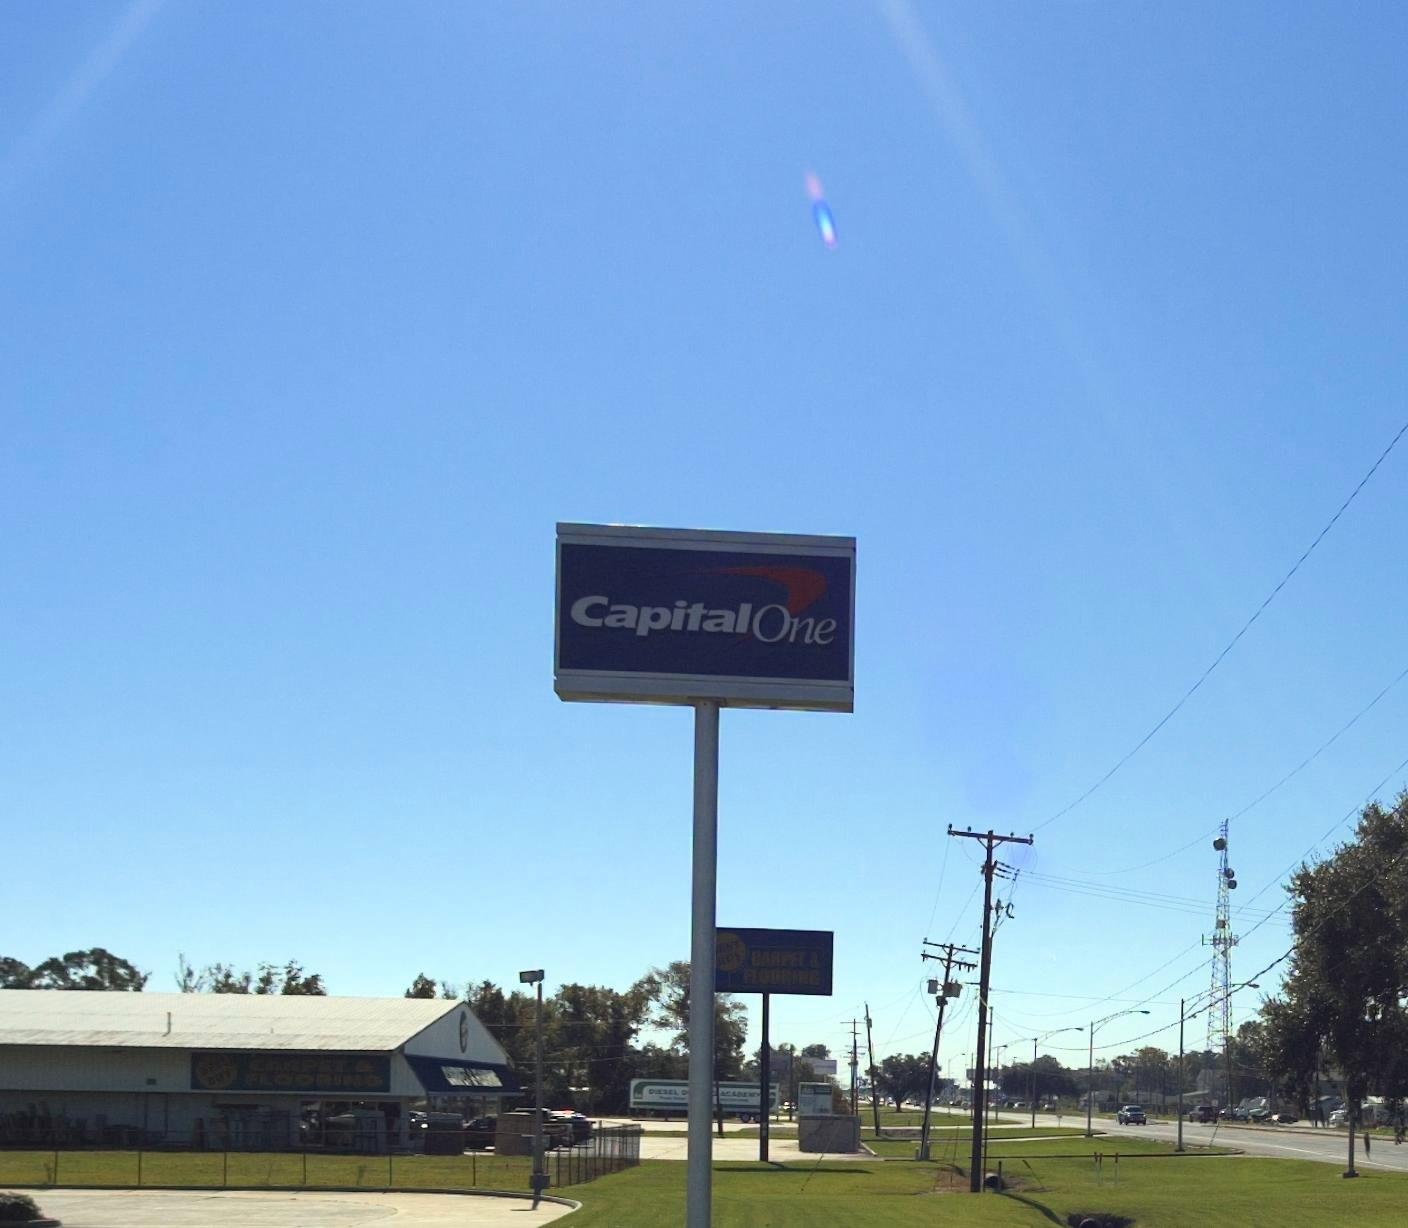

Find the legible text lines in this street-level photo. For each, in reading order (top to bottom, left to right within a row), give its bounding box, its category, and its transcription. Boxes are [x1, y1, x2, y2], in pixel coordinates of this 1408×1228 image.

[567, 591, 843, 652] BusinessName: Capital One
[749, 947, 810, 970] BusinessName: CARPET
[740, 963, 824, 989] BusinessName: FLOORING